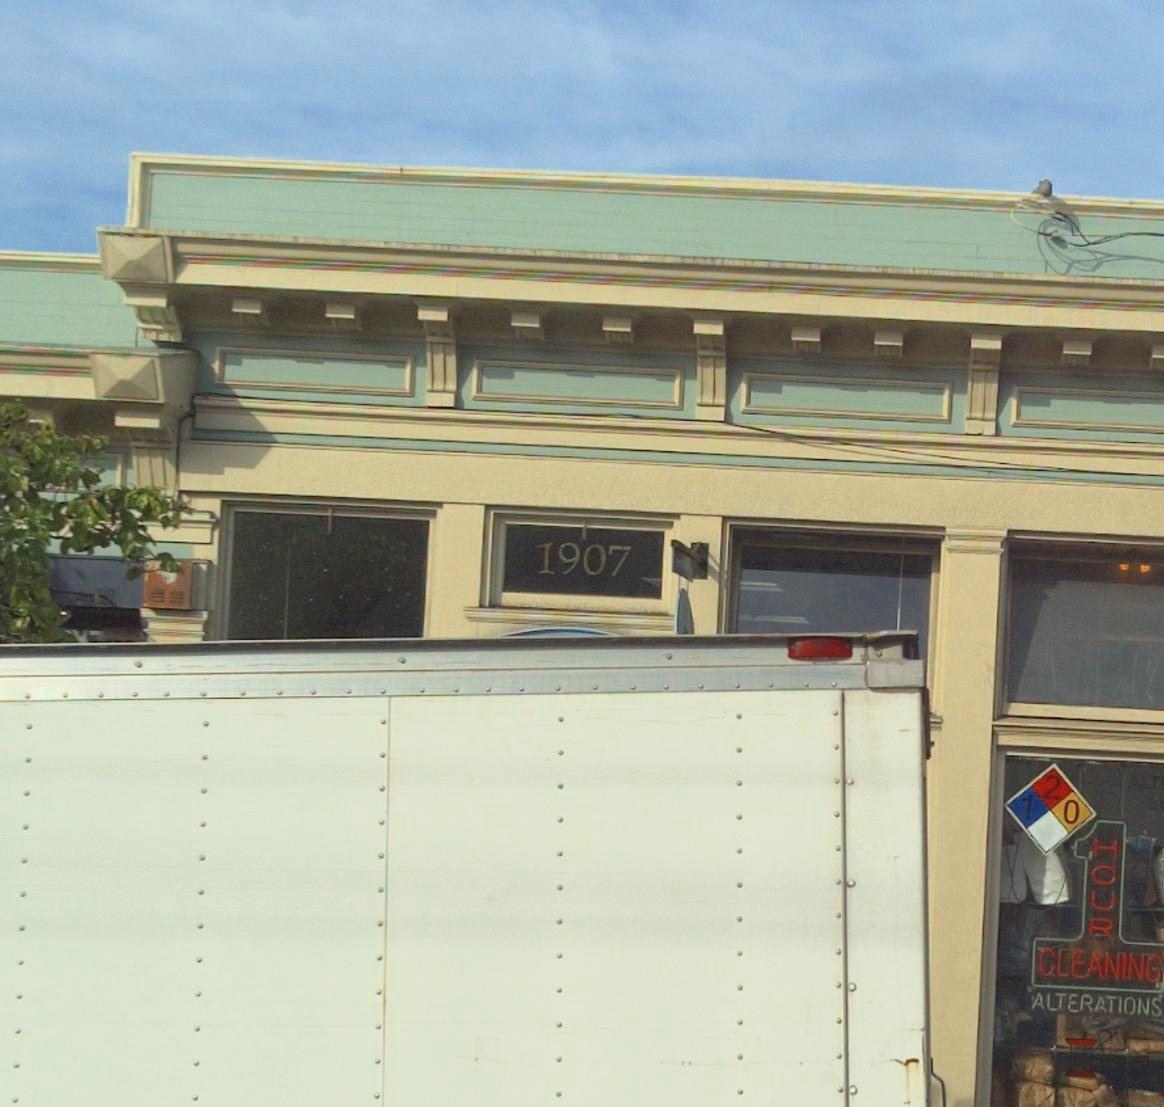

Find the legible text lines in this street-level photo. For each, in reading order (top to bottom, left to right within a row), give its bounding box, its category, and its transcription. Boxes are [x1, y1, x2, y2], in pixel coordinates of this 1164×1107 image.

[531, 538, 640, 581] StreetNumber: 1907
[1040, 771, 1064, 802] None: 2
[1020, 791, 1033, 822] None: 1
[1061, 795, 1082, 829] None: 0
[1085, 835, 1121, 941] None: HOUR
[1035, 944, 1163, 985] None: CLEANING
[1024, 988, 1163, 1020] None: ALTERATIONS